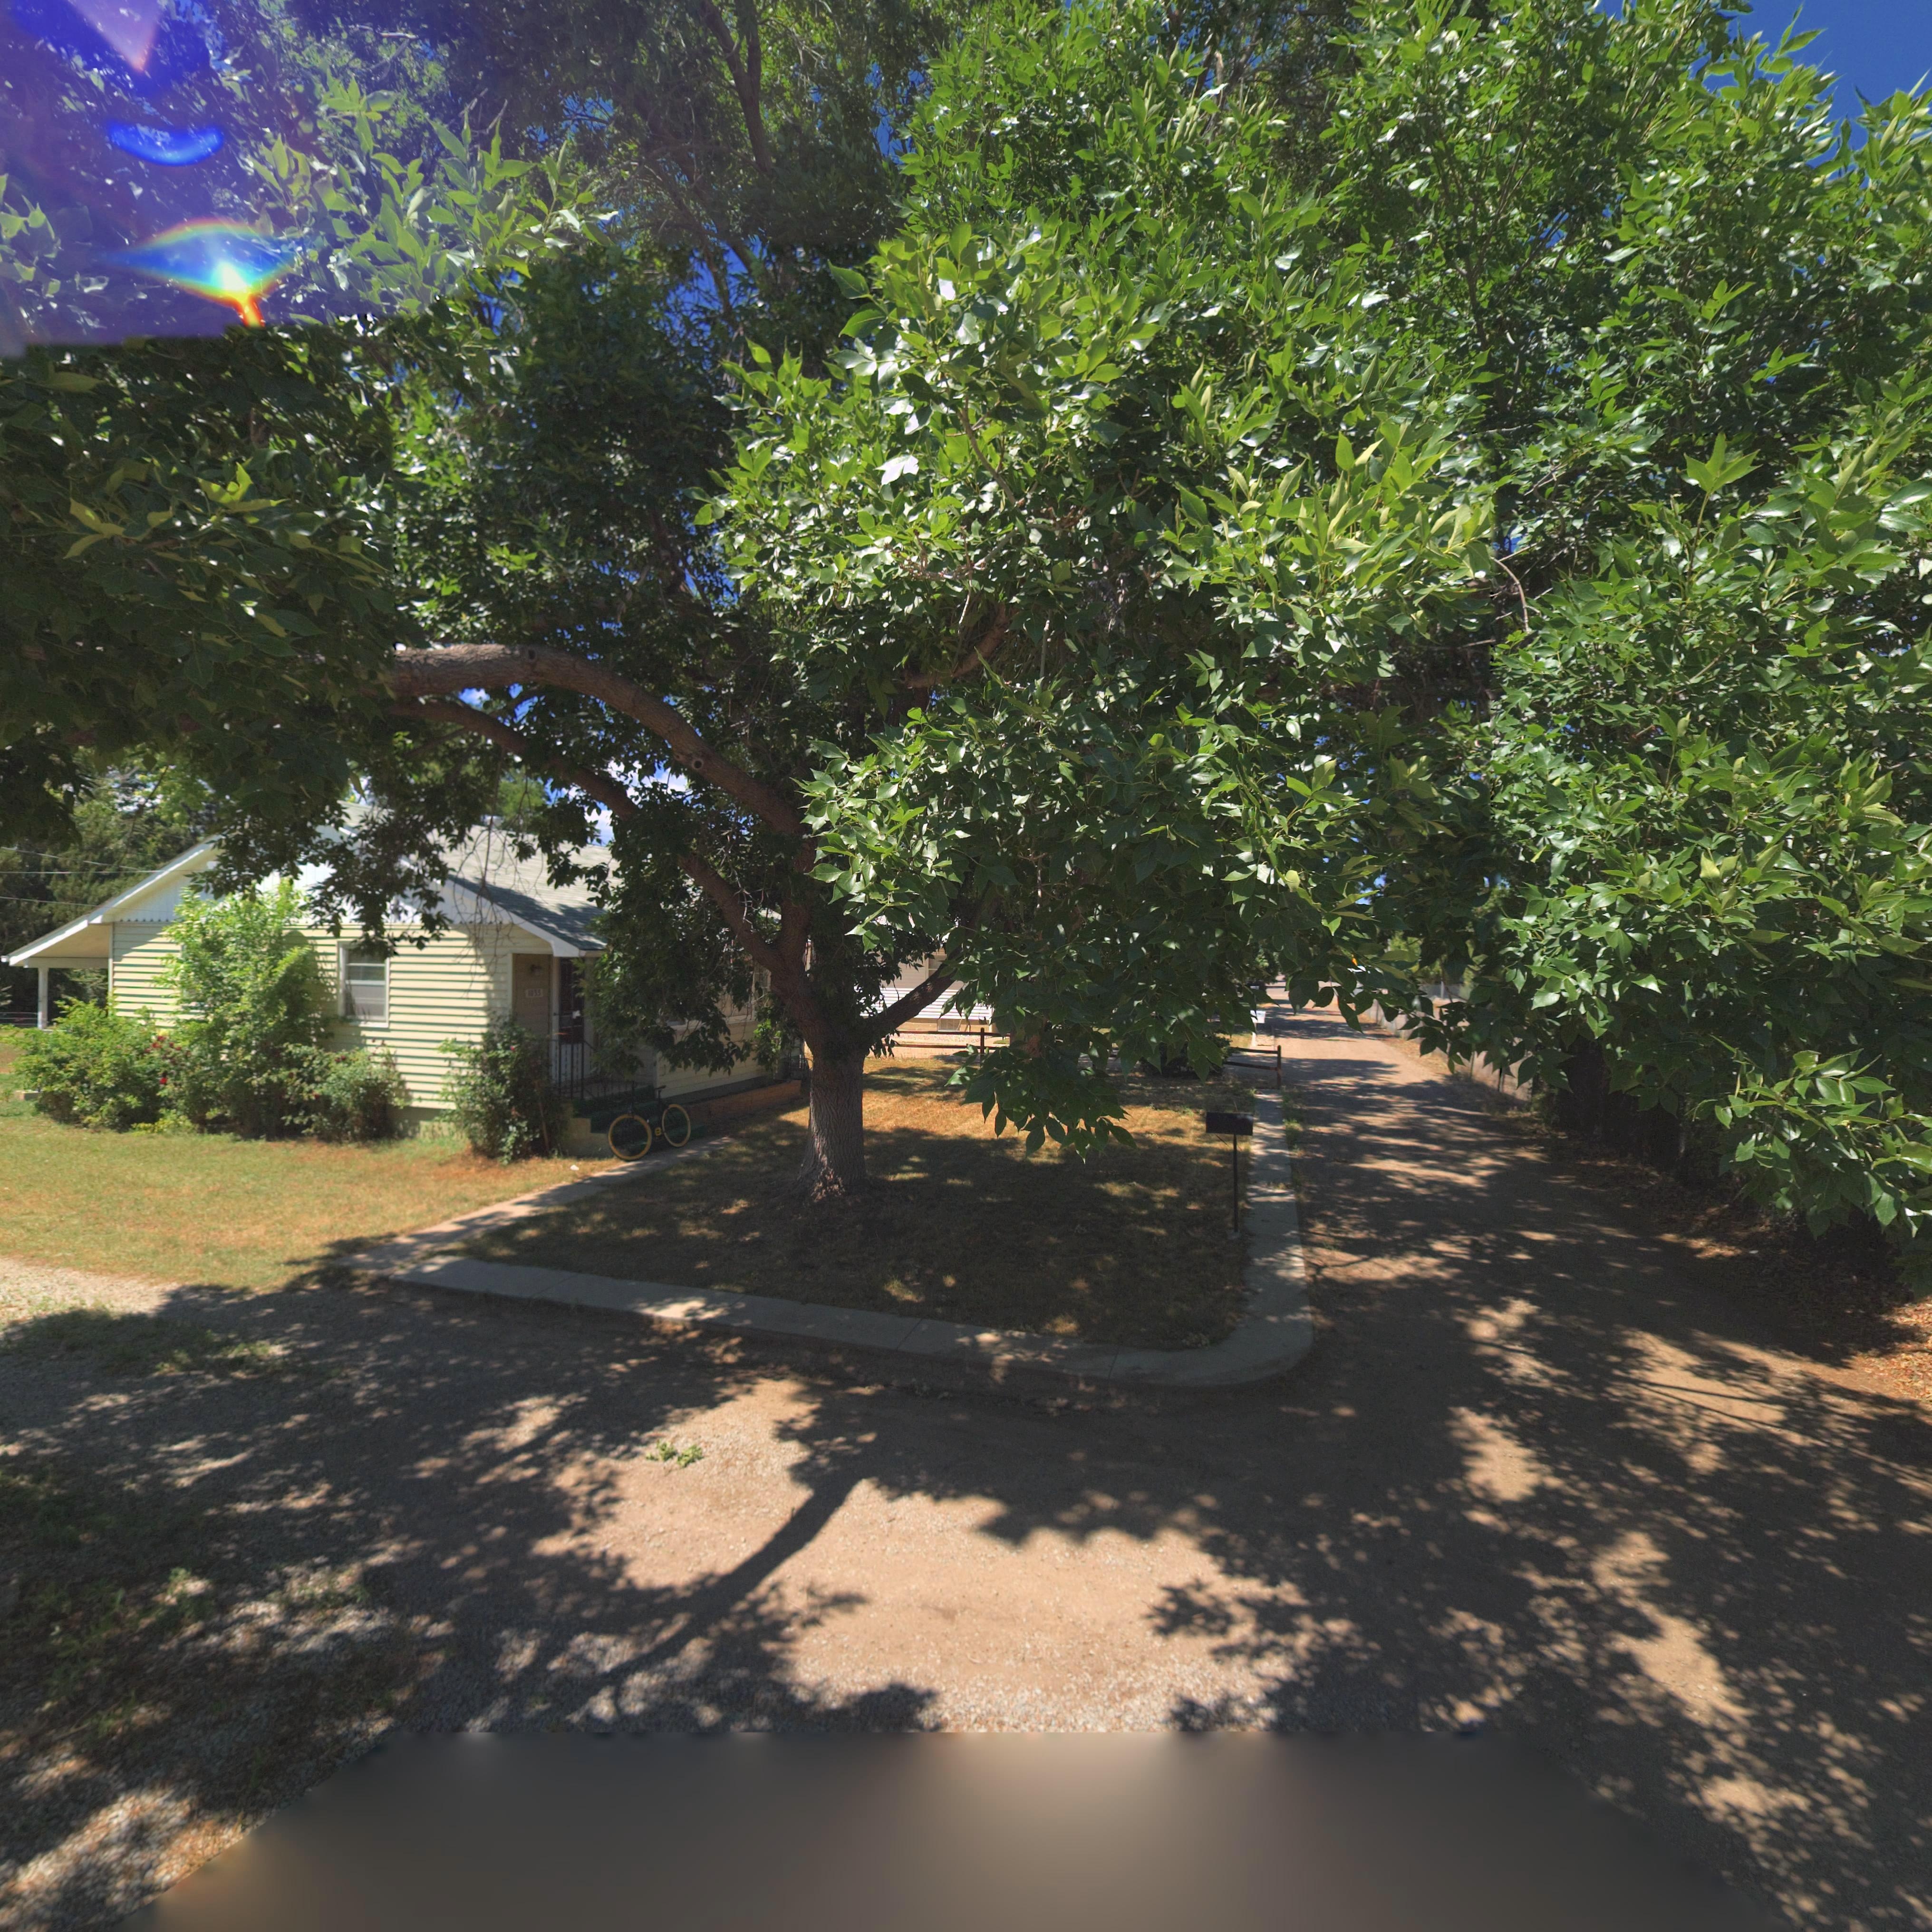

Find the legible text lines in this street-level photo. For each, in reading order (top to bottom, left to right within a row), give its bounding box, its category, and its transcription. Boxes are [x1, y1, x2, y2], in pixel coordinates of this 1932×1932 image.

[527, 988, 541, 997] StreetNumber: 1035